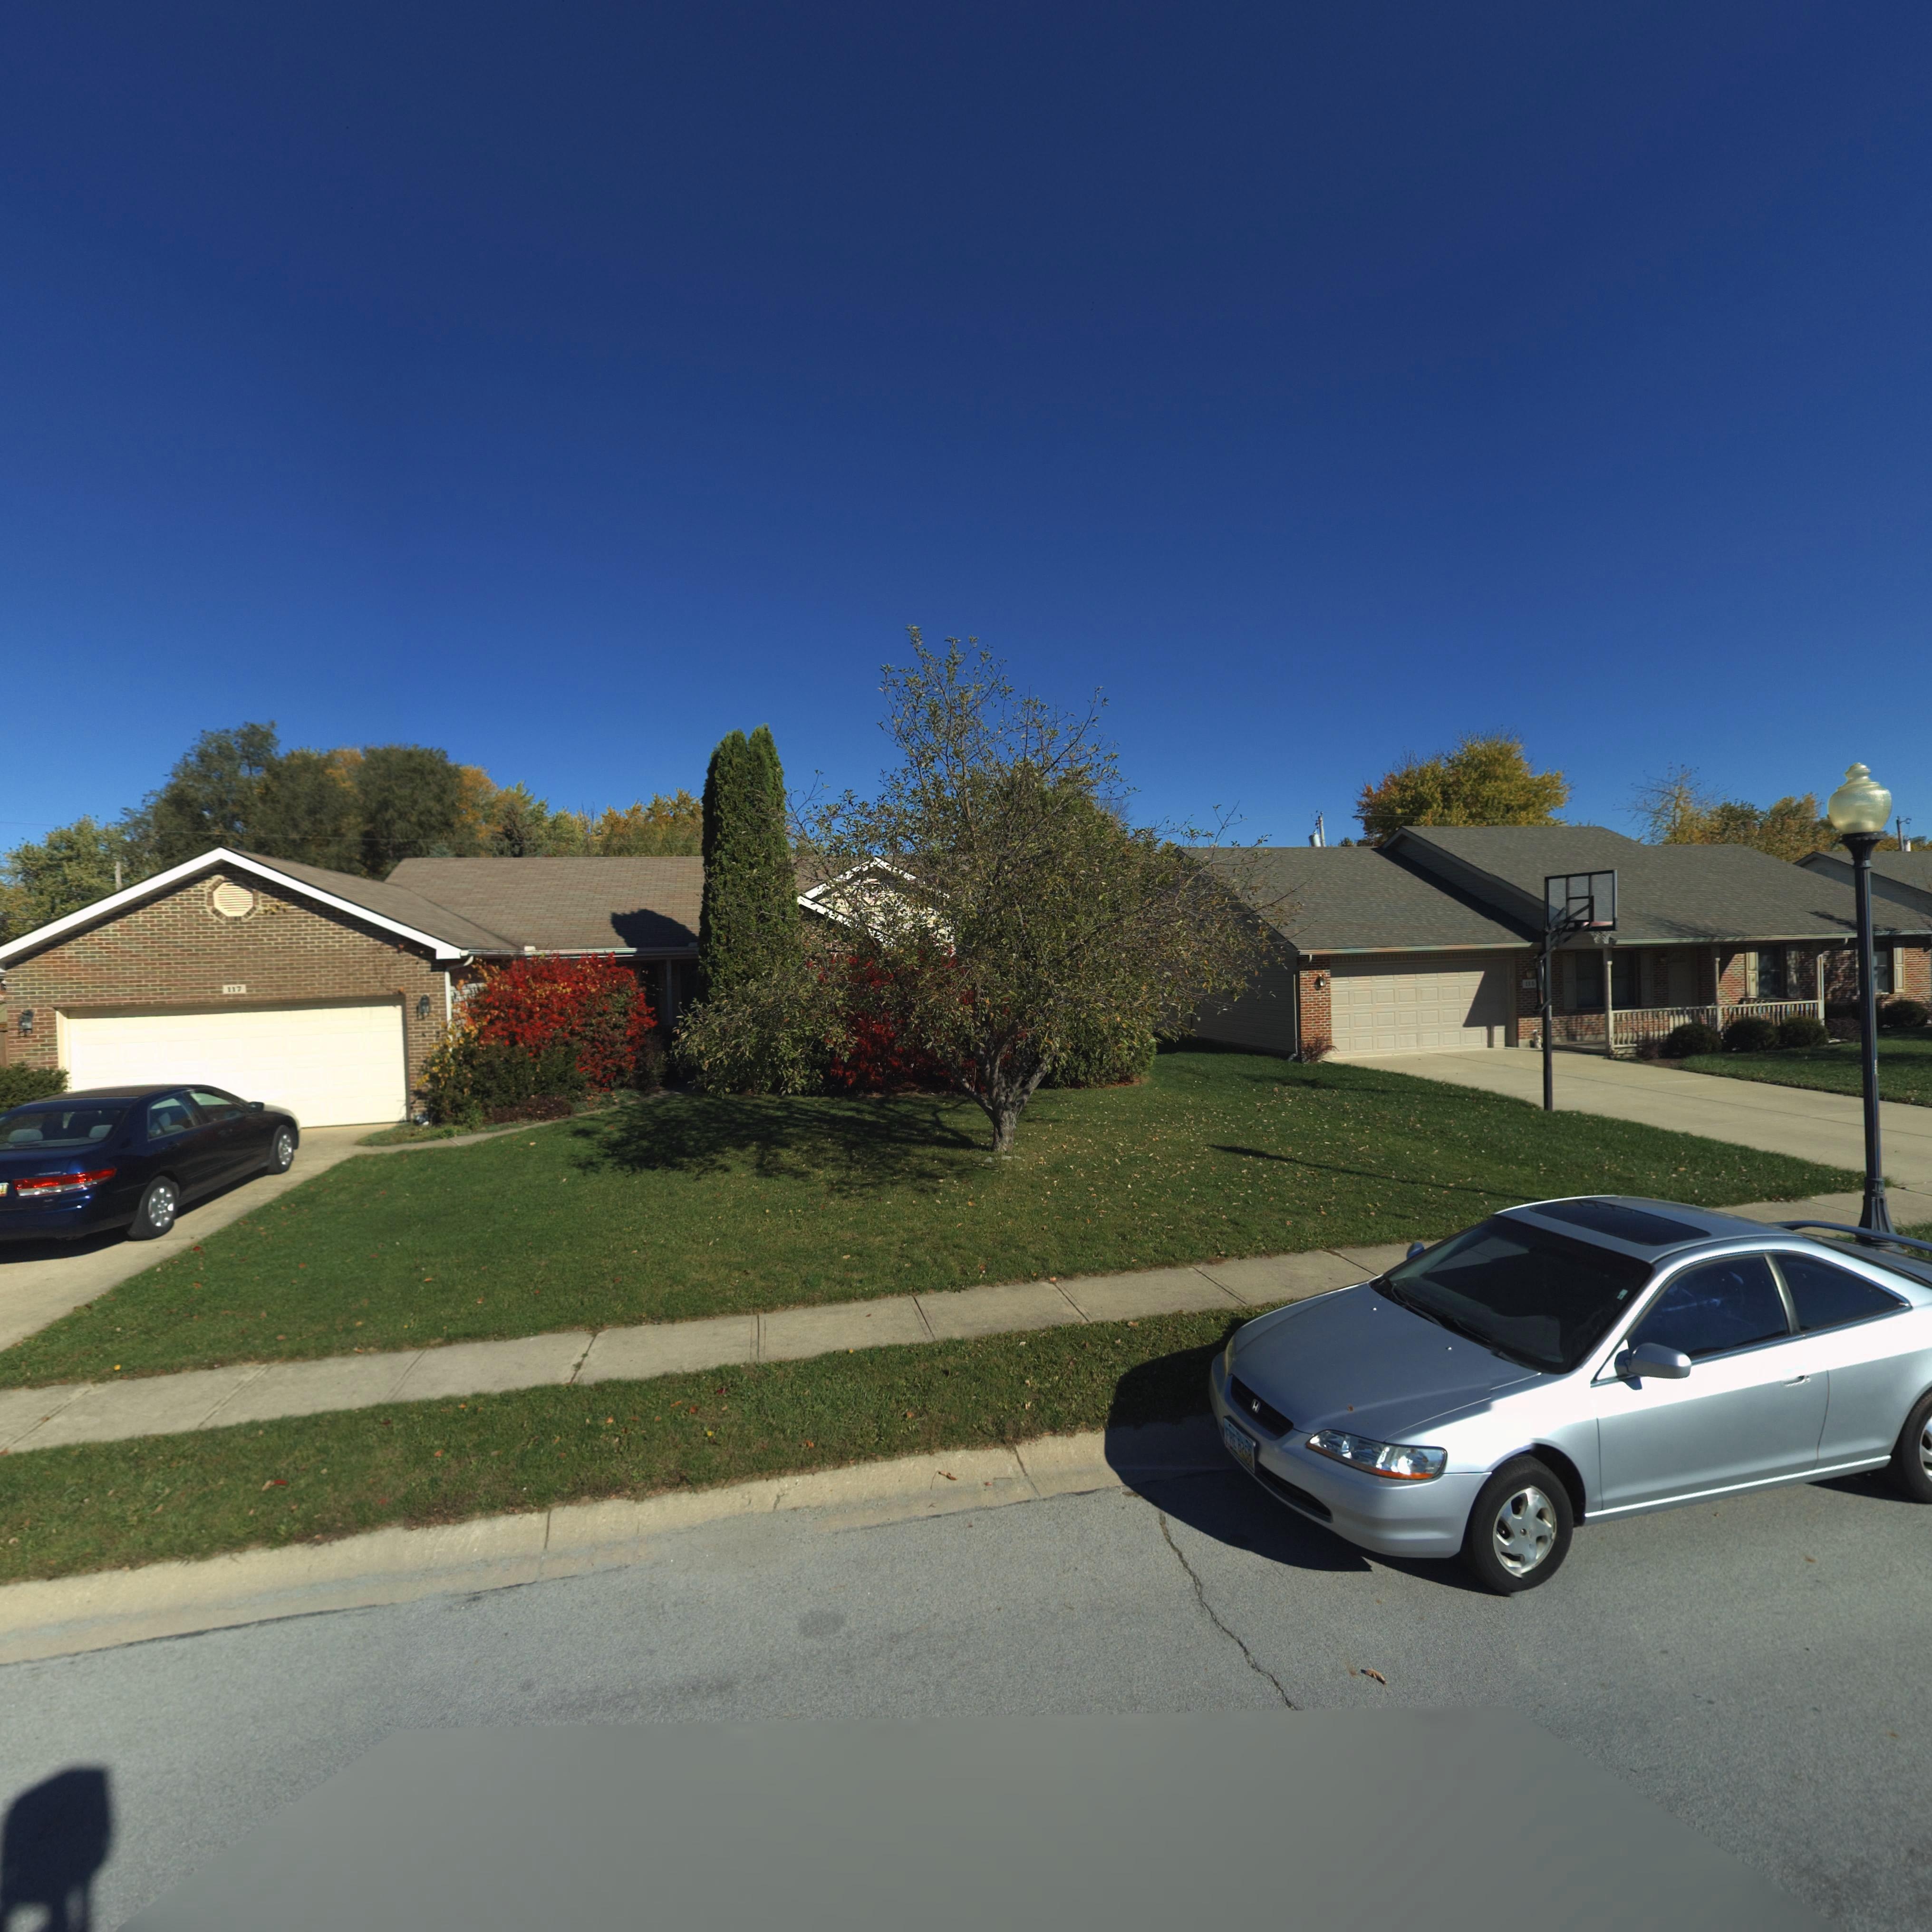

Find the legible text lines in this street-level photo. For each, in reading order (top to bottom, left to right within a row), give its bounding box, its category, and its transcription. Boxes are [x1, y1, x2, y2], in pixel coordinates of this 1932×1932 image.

[1524, 981, 1536, 987] StreetNumber: 11*
[226, 985, 242, 993] StreetNumber: 117
[1225, 1426, 1252, 1468] None: FRE 8268